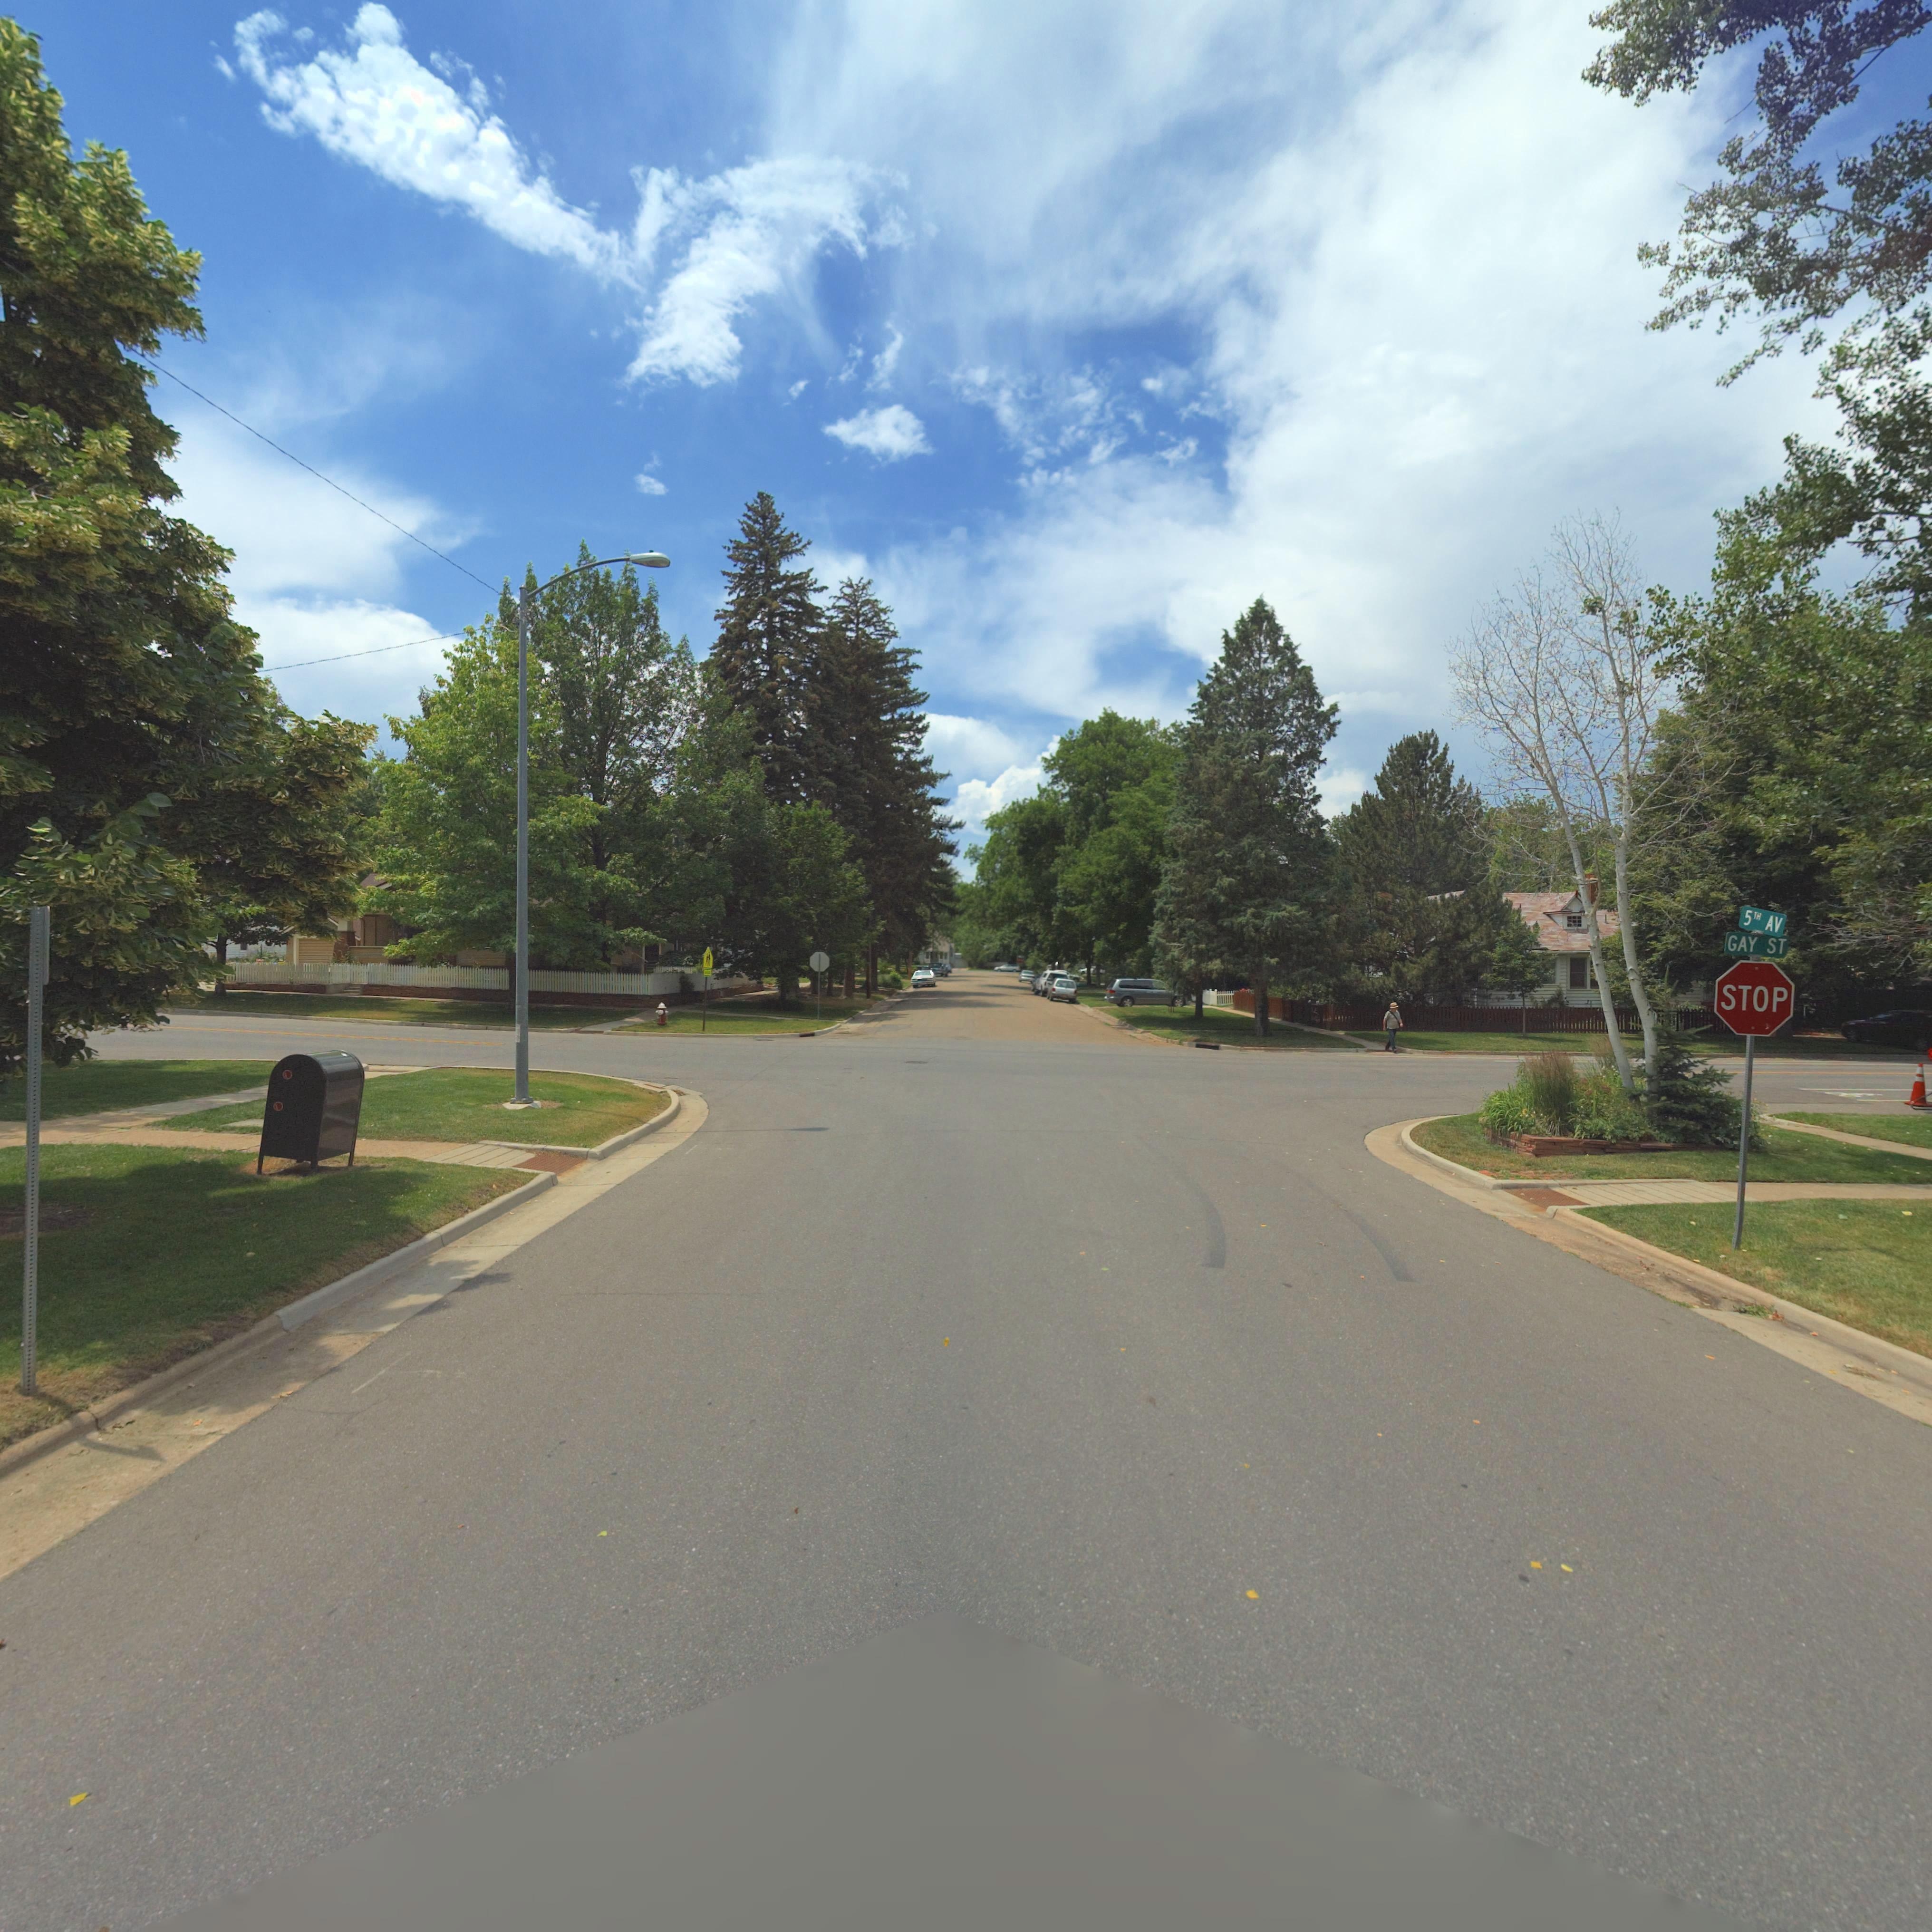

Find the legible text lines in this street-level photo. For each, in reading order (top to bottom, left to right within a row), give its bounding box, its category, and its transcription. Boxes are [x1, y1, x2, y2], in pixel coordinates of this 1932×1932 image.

[1742, 908, 1784, 933] StreetName: 5TH AV
[1727, 934, 1787, 954] StreetName: GAY ST